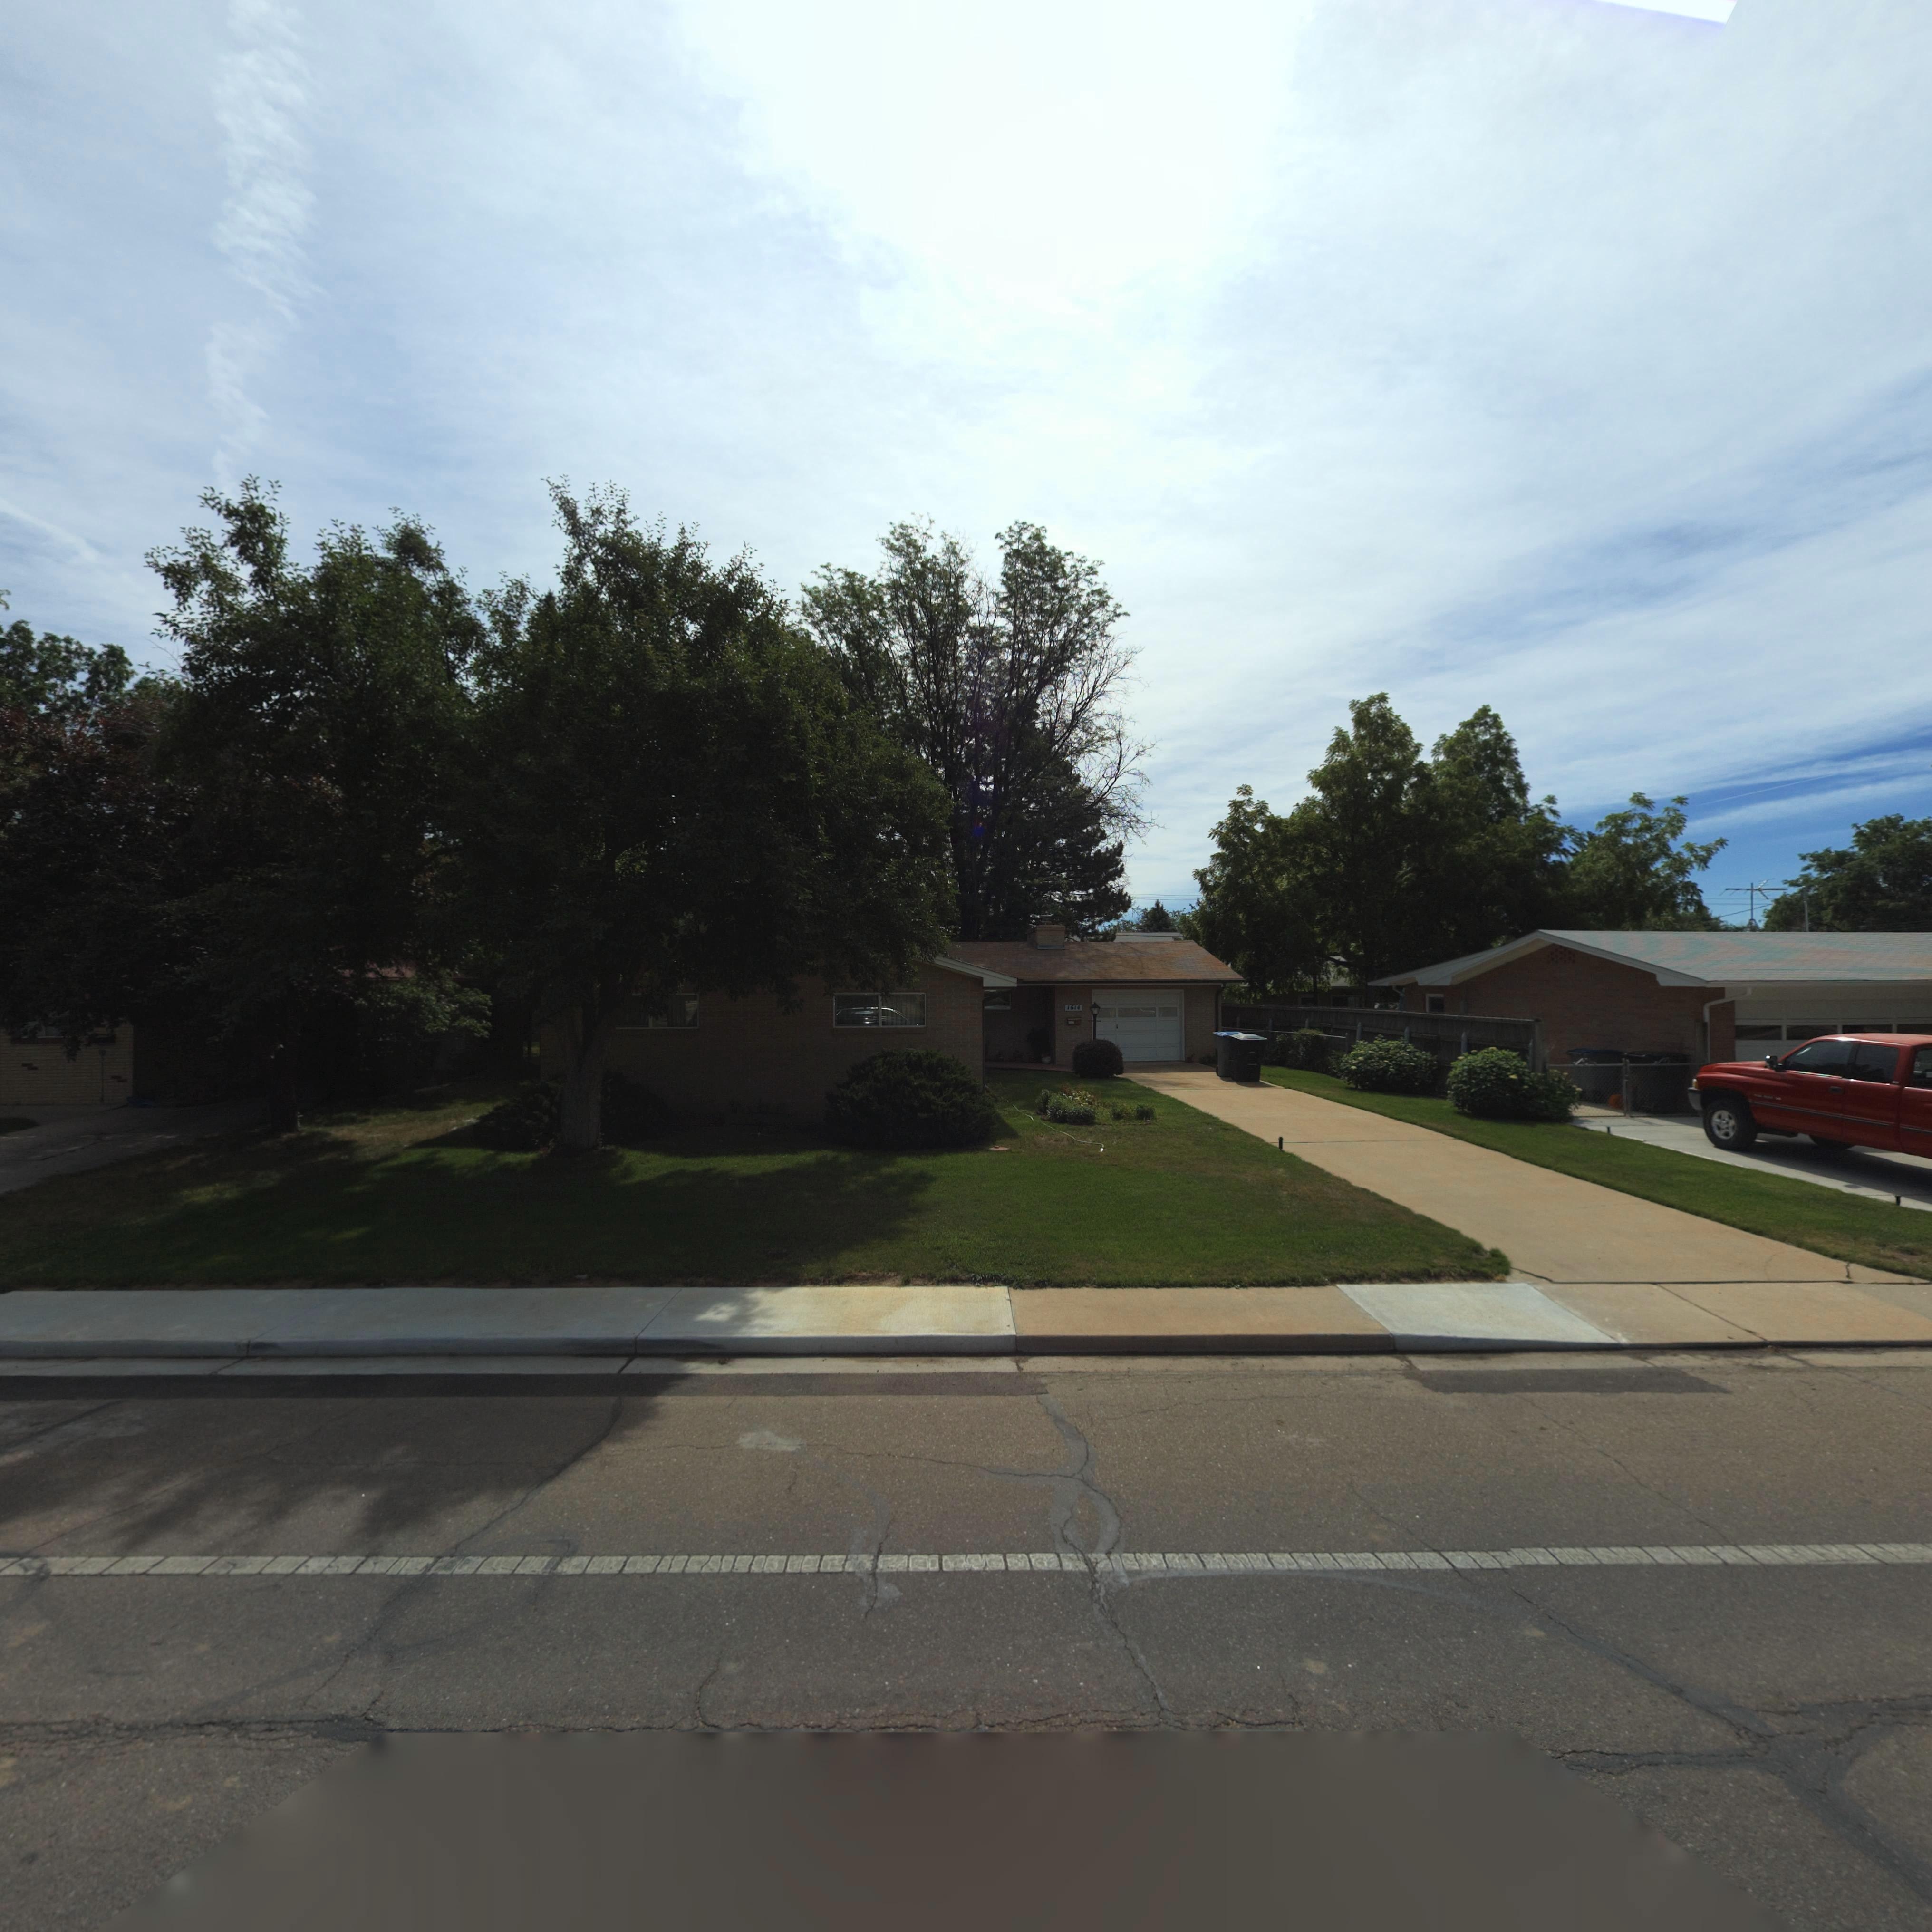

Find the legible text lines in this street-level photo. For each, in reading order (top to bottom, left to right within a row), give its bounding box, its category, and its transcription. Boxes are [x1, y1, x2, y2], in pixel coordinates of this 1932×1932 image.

[1067, 1005, 1080, 1010] StreetNumber: 1614